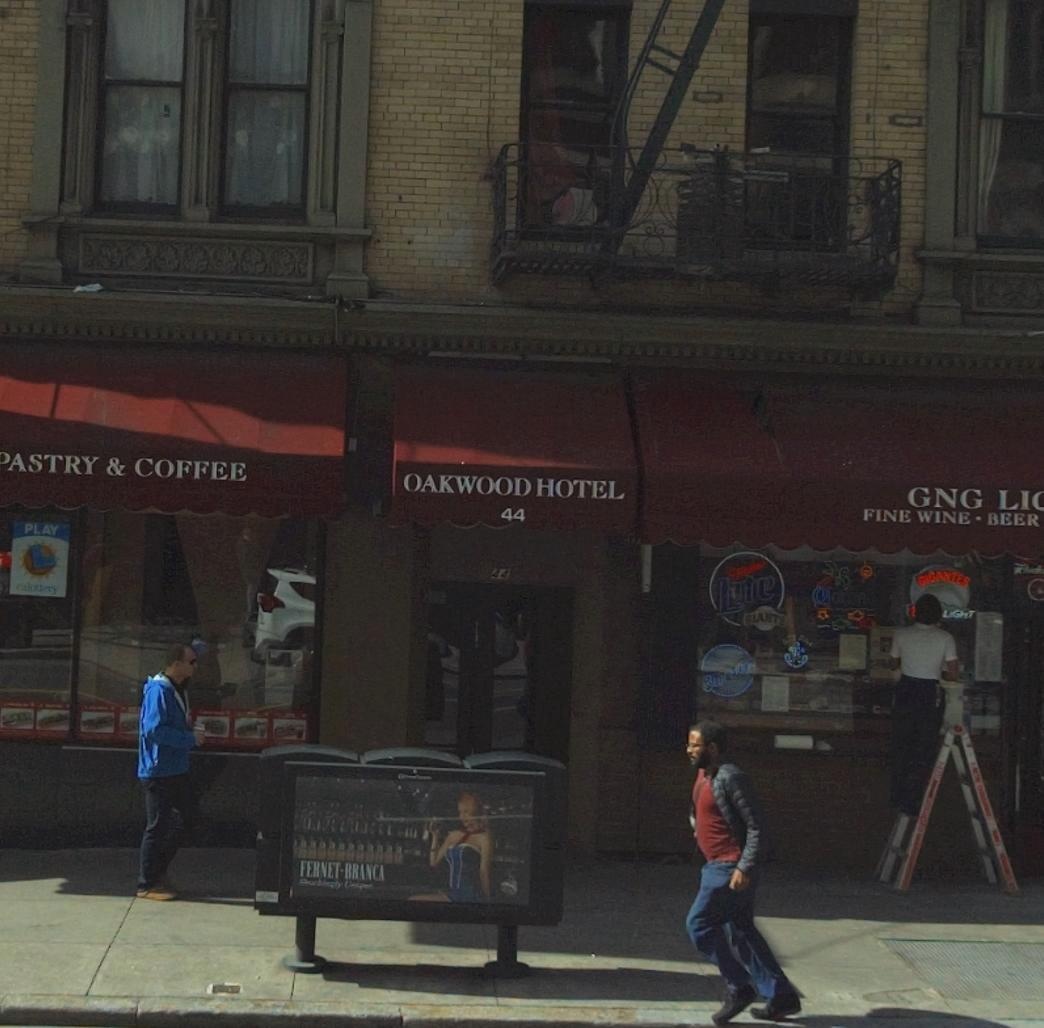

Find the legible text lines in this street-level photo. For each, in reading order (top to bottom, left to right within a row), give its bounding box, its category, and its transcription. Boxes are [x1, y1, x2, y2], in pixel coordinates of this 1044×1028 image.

[5, 447, 251, 484] None: ASTRY & COFFEE
[399, 468, 630, 504] BusinessName: OAKWOOD HOTEL
[903, 482, 1036, 515] BusinessName: GNG LI
[20, 518, 63, 539] None: PLAY
[497, 502, 530, 528] StreetNumber: 44
[856, 504, 1041, 532] None: FINE WINE*BEER
[12, 579, 61, 598] None: calottery
[486, 566, 515, 582] StreetNumber: 44
[715, 570, 779, 623] None: Life
[910, 562, 976, 591] None: GIGANTES
[939, 603, 980, 624] None: LIGHT
[295, 856, 391, 884] None: FERNEY-BRANCA